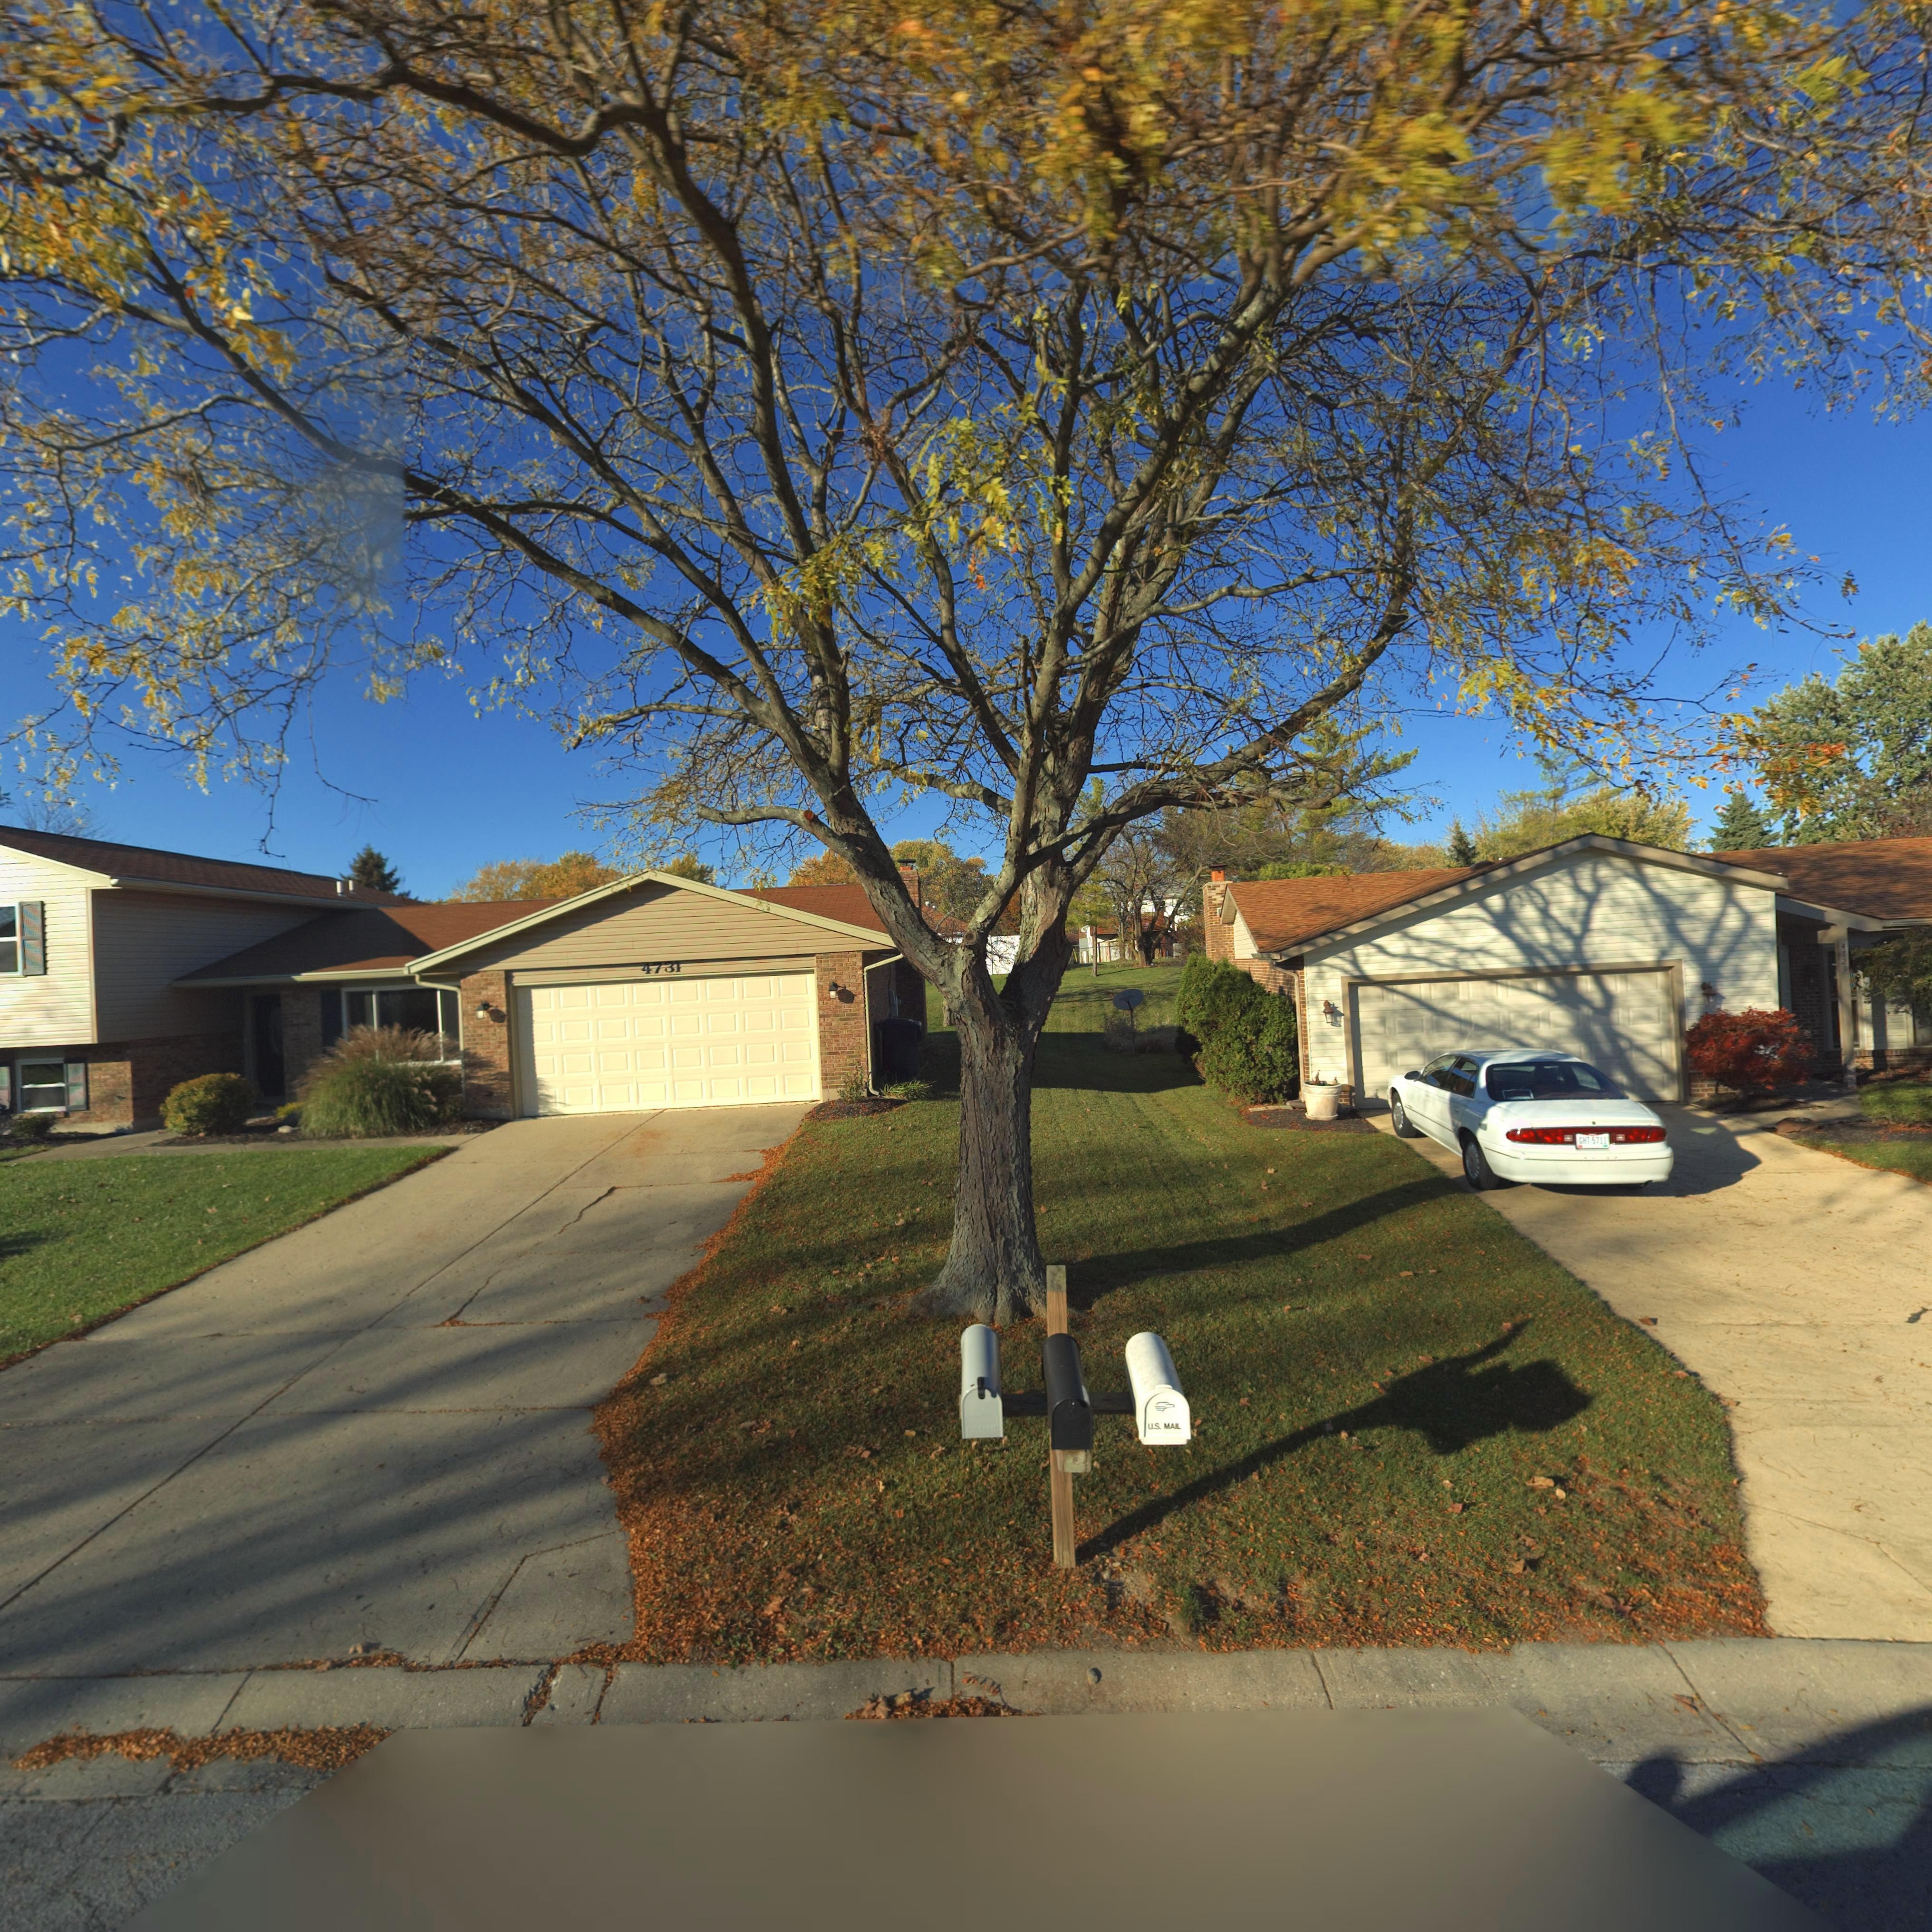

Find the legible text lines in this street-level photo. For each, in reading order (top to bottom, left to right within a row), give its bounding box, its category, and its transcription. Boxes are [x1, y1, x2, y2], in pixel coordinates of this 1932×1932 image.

[640, 959, 682, 976] StreetNumber: 4731
[1840, 942, 1848, 973] StreetNumber: 4721